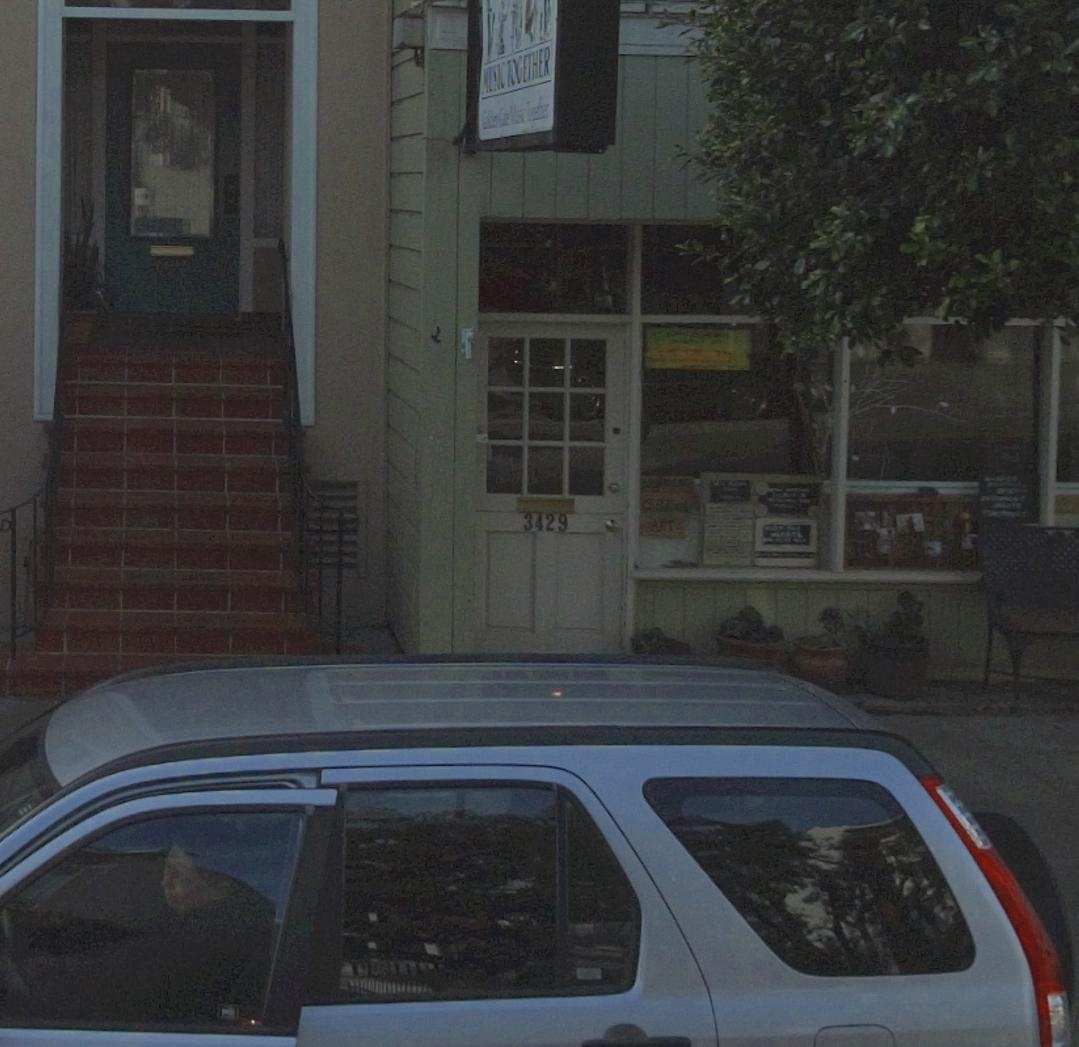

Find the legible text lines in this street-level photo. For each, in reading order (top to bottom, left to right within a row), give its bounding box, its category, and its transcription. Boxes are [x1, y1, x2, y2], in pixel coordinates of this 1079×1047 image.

[504, 41, 553, 92] None: INTERIOR
[521, 510, 569, 534] StreetNumber: 3429
[646, 517, 678, 535] None: A*T